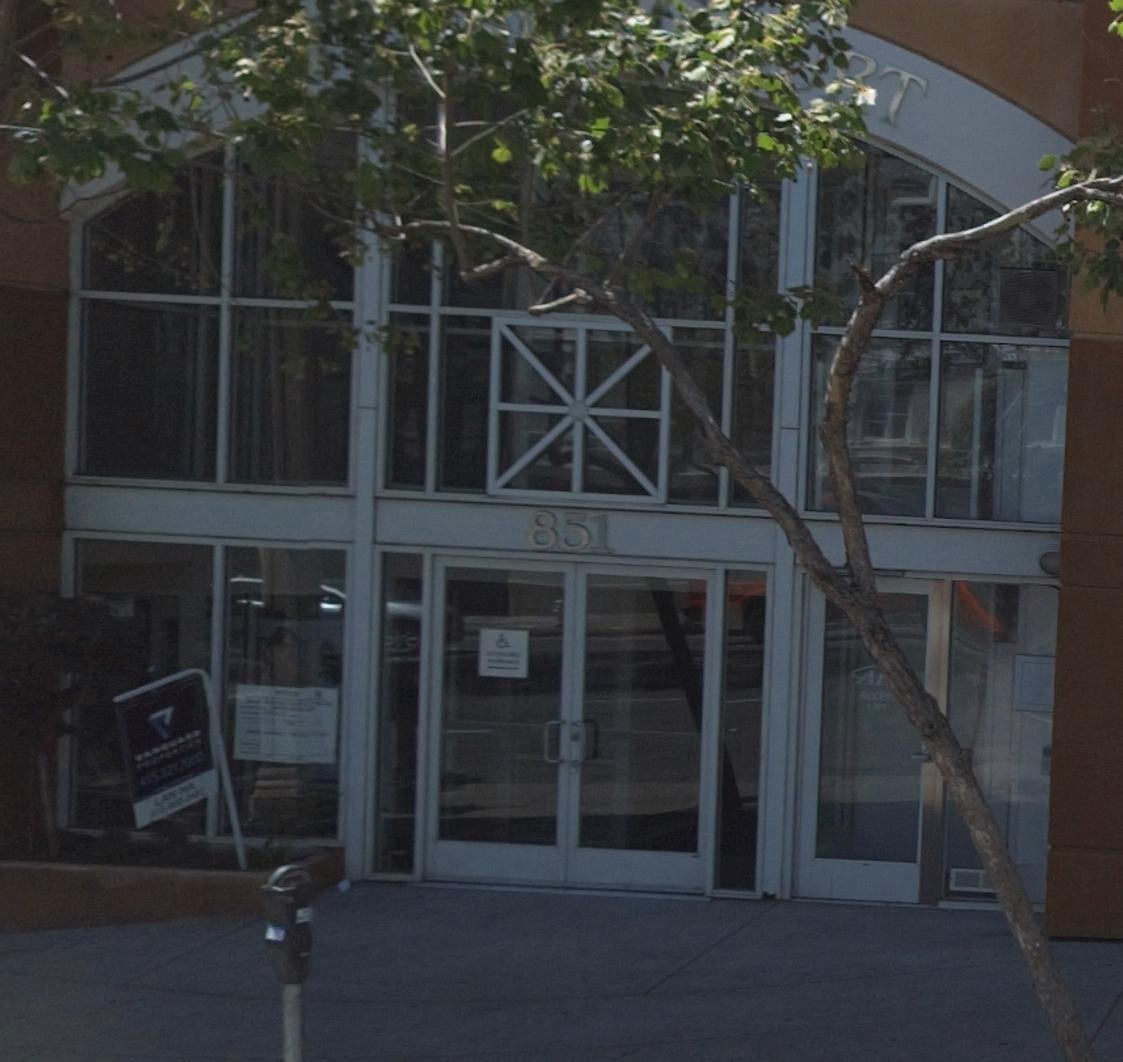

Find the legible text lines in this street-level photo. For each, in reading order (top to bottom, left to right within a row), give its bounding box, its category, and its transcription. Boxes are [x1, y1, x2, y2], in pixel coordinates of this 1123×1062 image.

[870, 61, 931, 132] None: T
[527, 507, 615, 556] StreetNumber: 851
[857, 689, 889, 703] None: ACCE